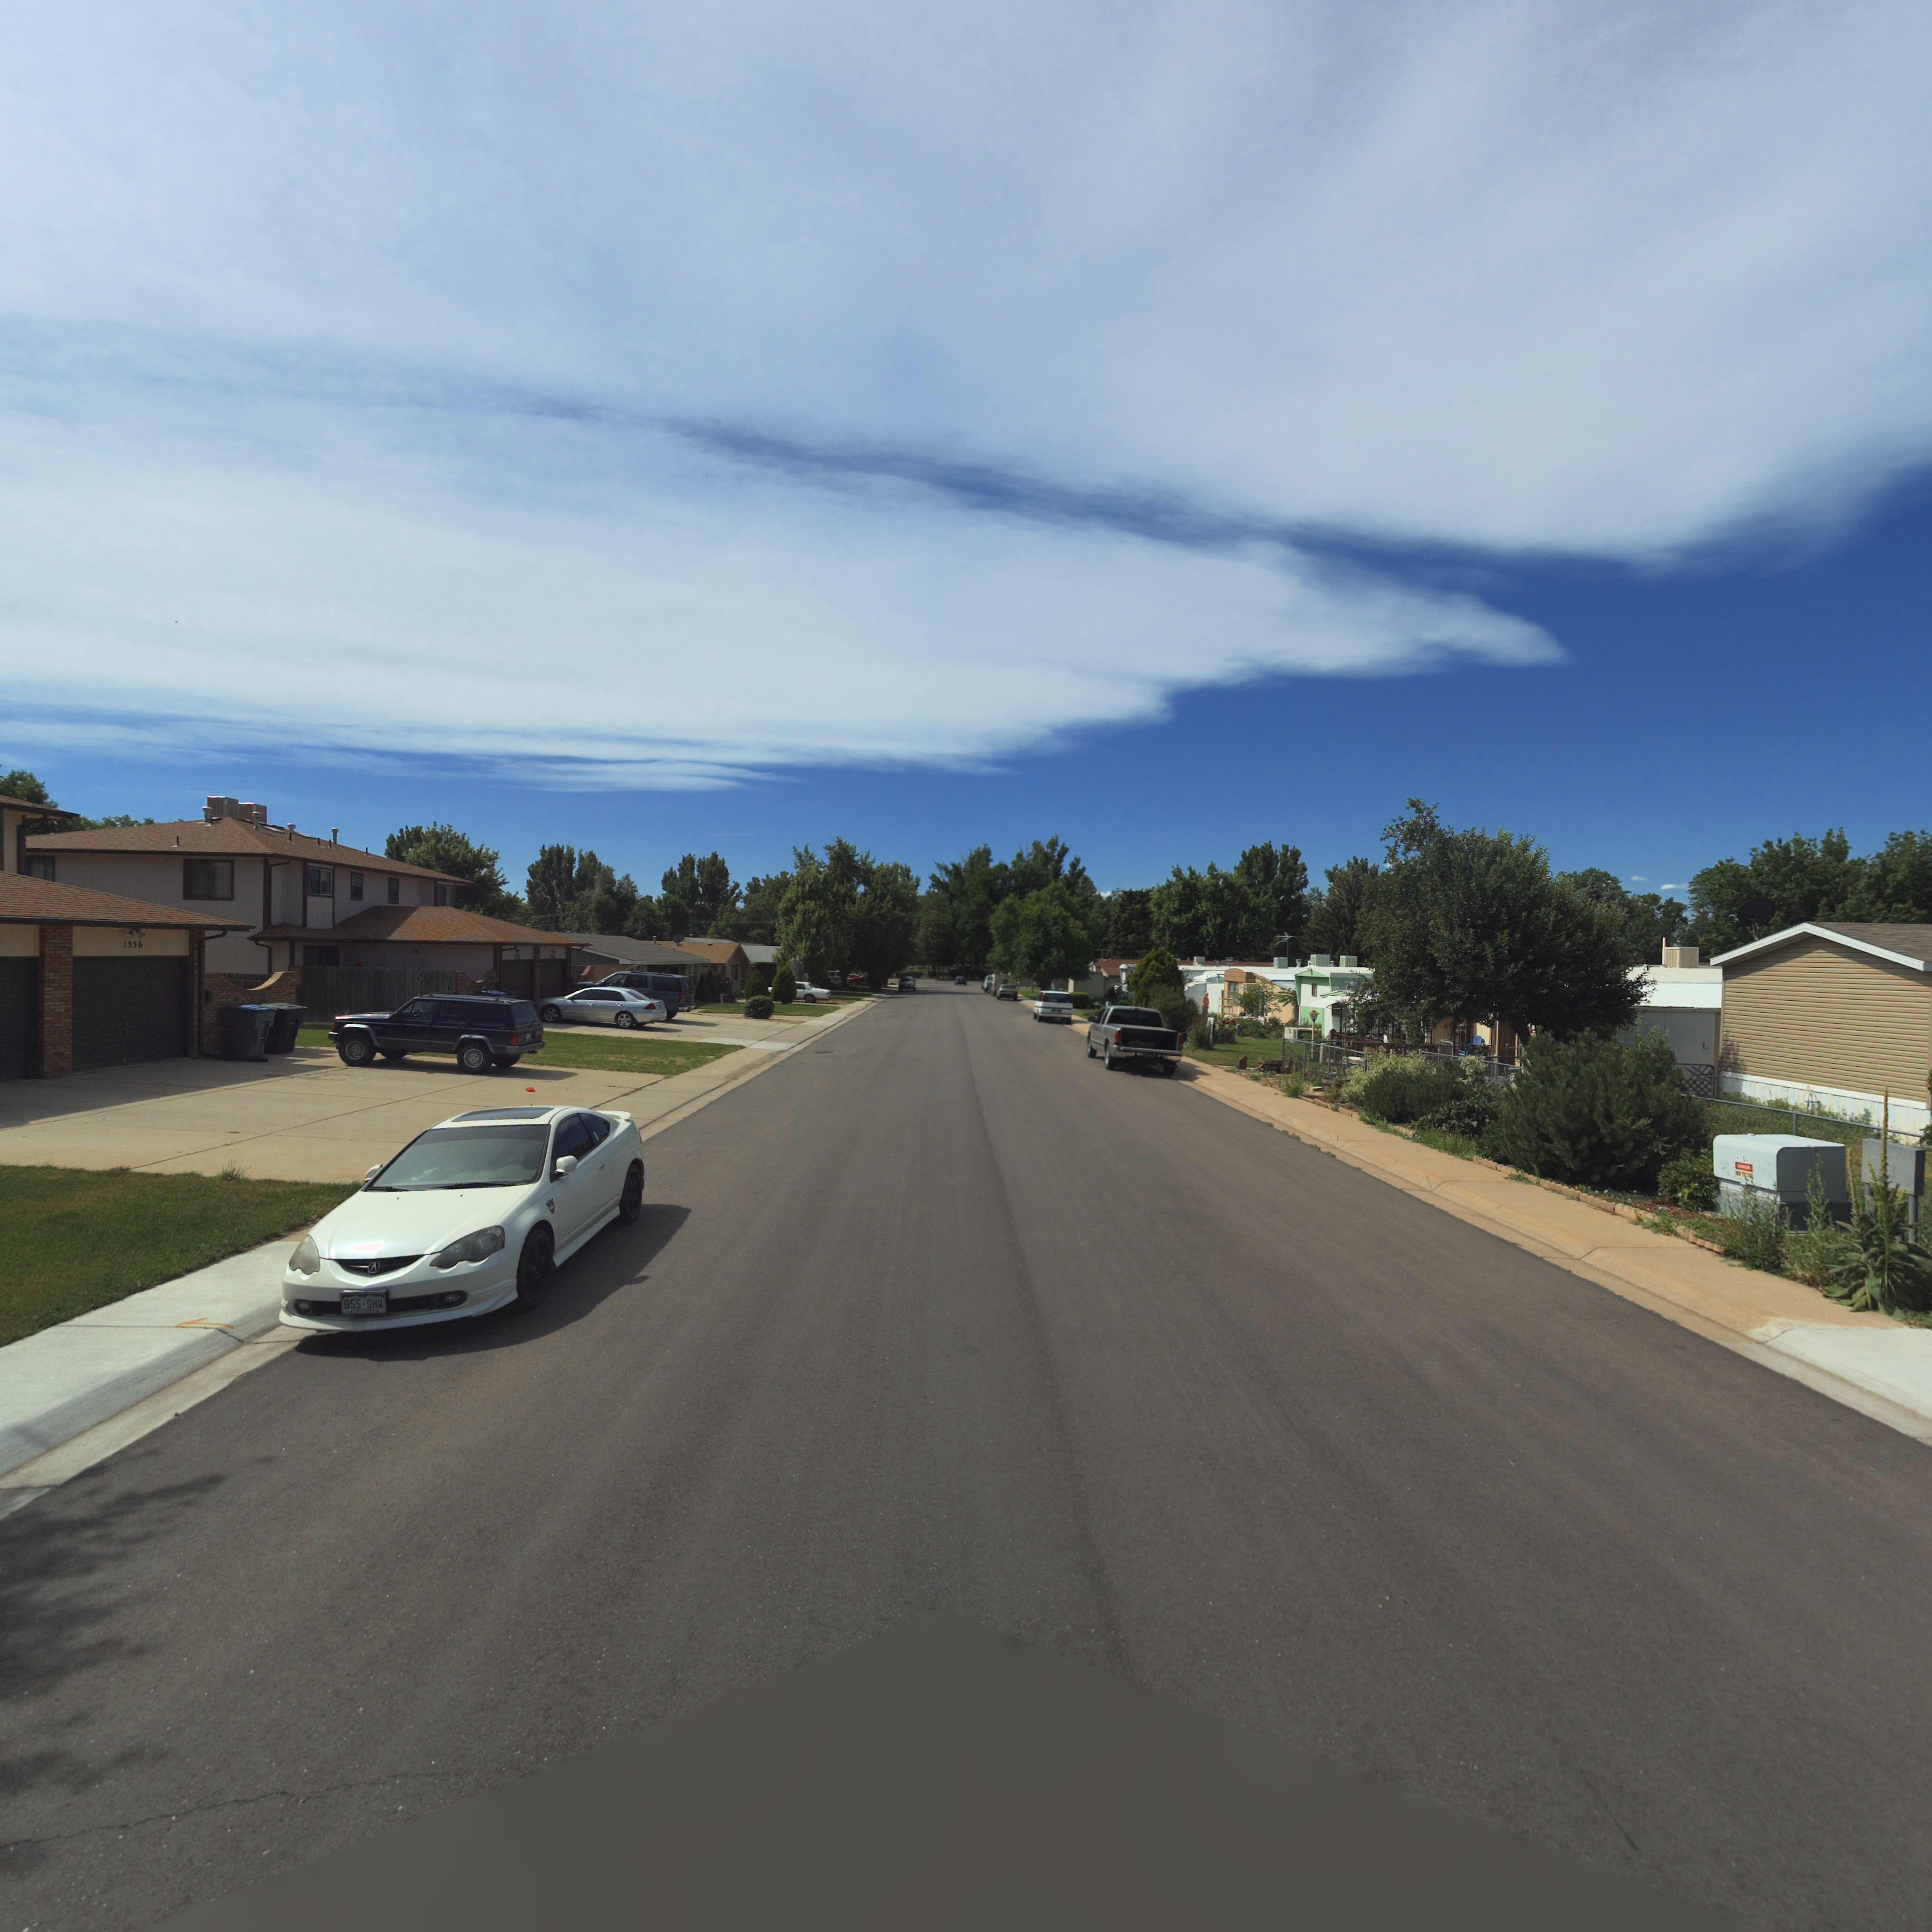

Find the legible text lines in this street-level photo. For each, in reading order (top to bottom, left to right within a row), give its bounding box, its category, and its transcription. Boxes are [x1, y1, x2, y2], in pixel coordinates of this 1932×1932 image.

[123, 940, 144, 949] StreetNumber: 1336